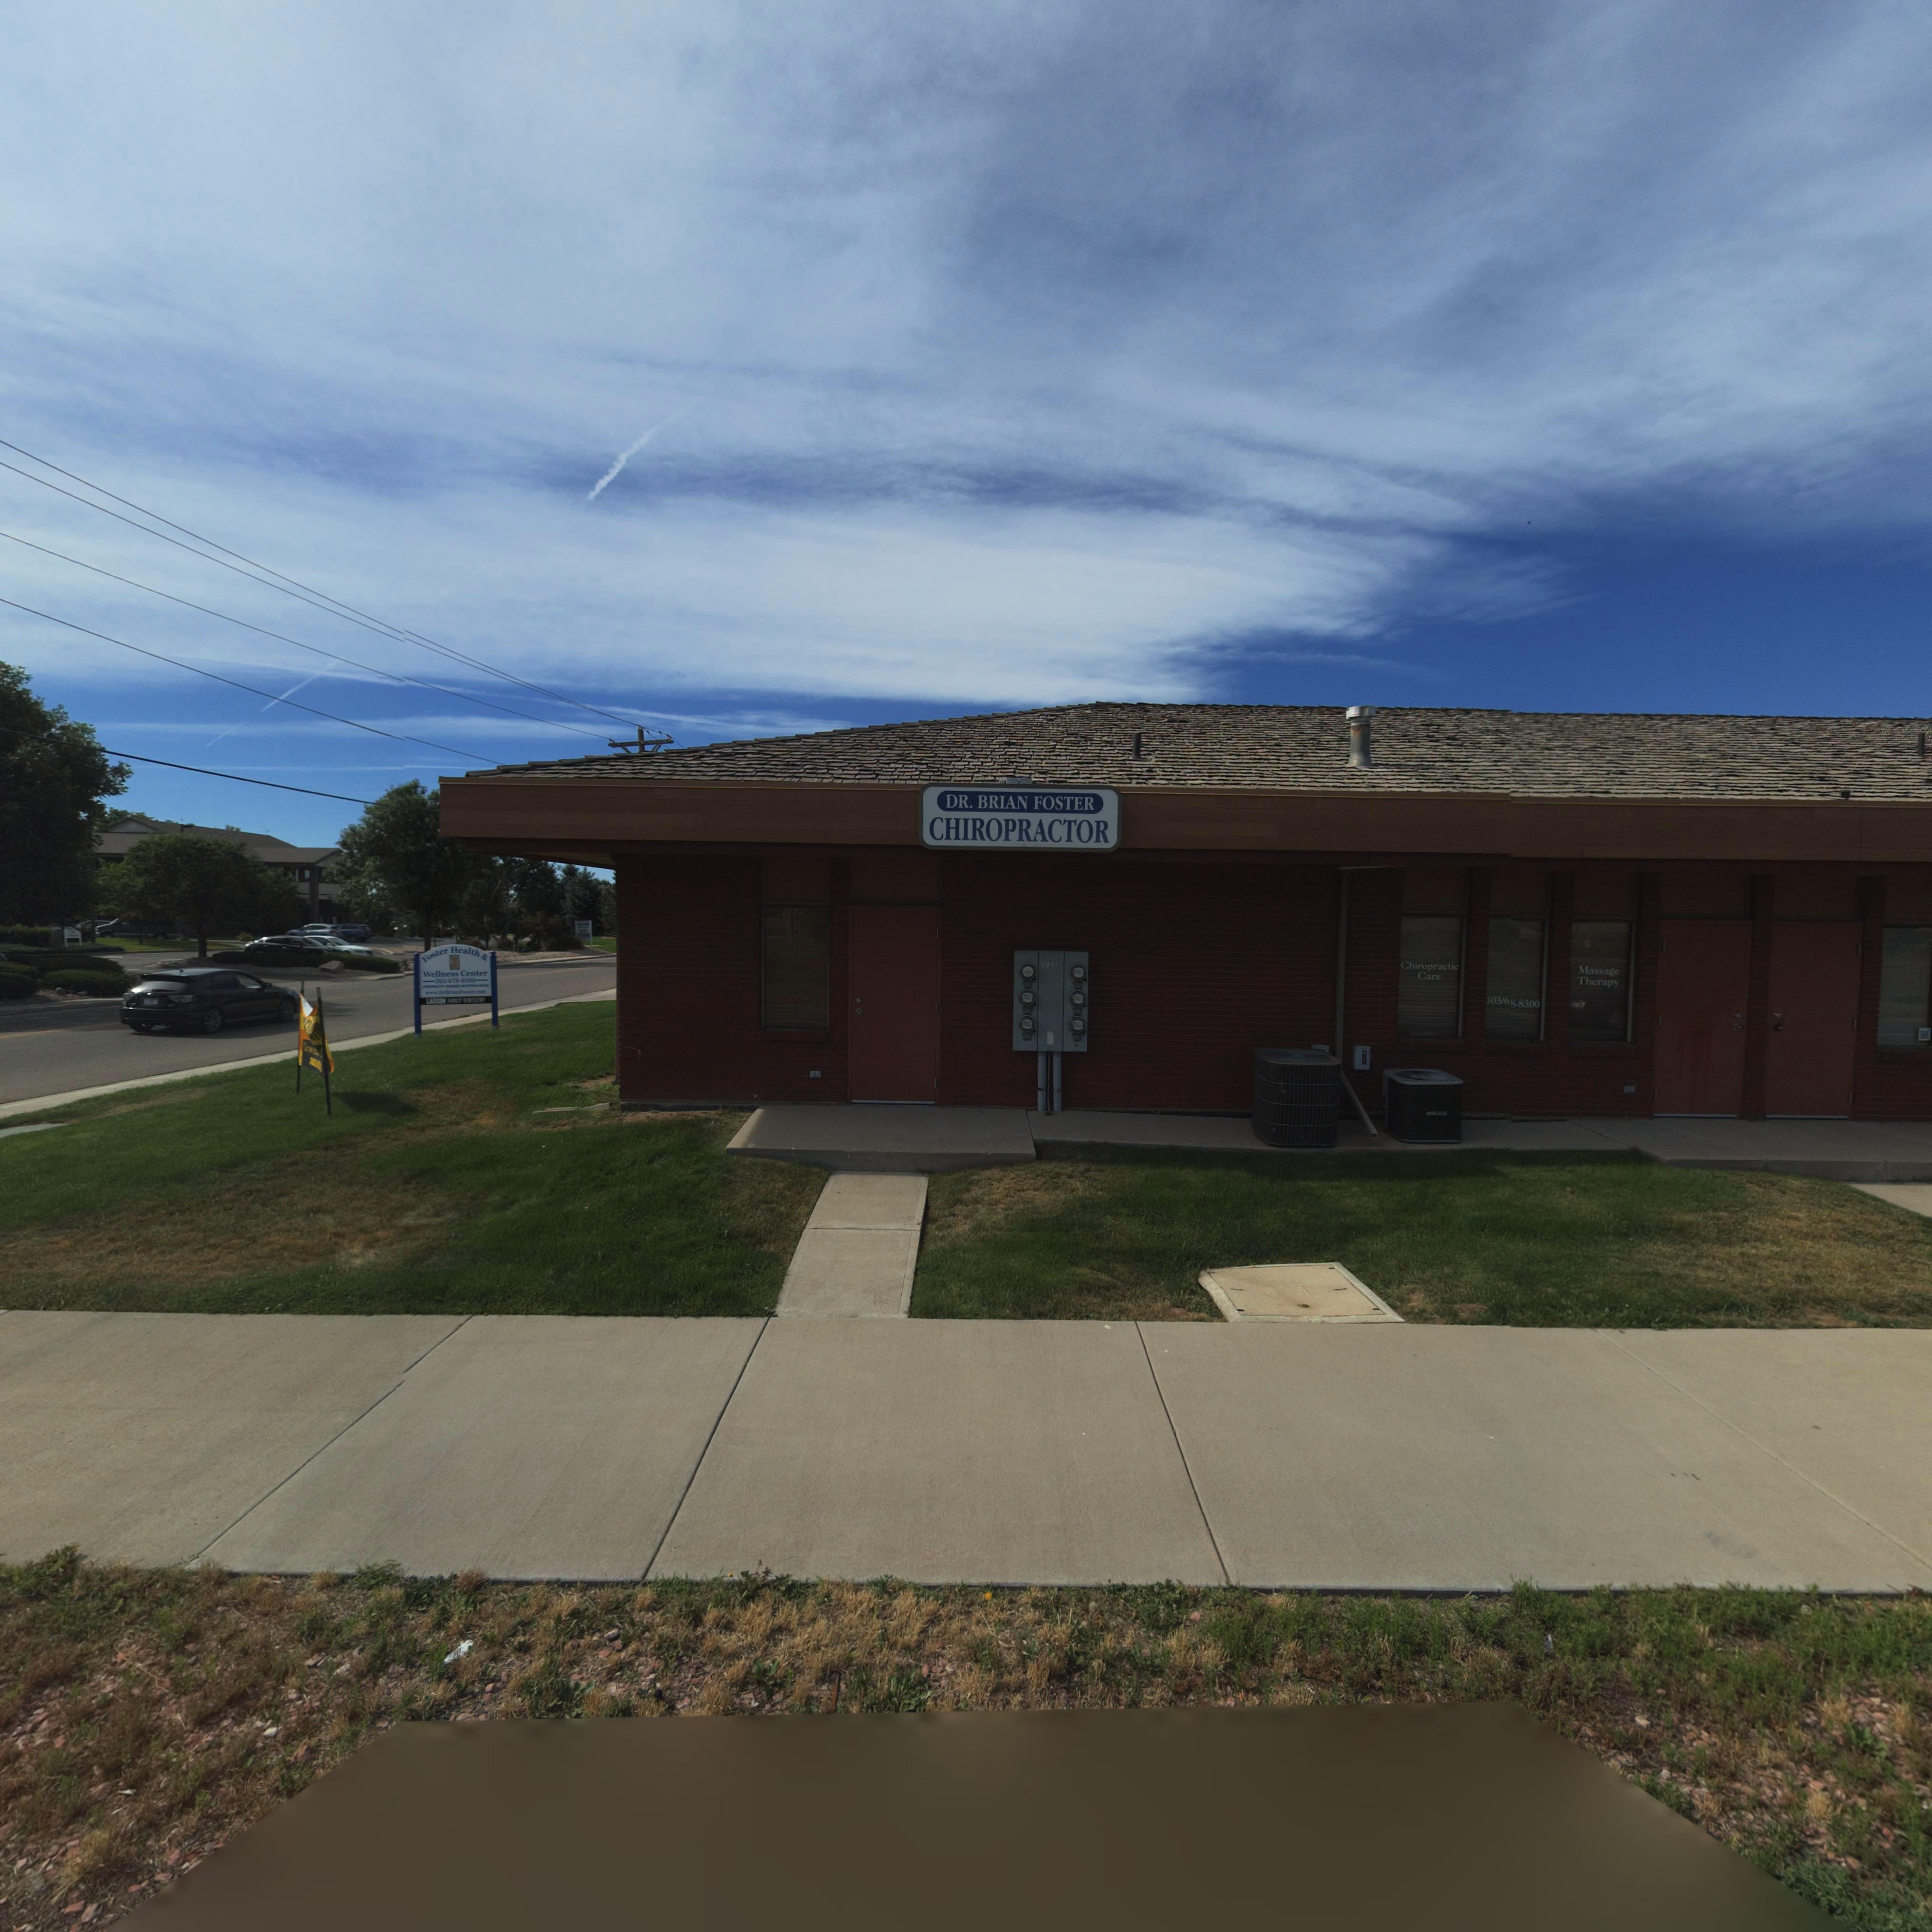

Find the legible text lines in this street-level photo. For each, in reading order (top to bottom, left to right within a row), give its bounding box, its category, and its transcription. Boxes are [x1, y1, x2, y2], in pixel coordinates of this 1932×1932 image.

[945, 793, 1095, 811] BusinessName: DR. BRIAN FOSTER
[420, 946, 489, 963] BusinessName: Foster Health &
[422, 969, 488, 977] BusinessName: Wellness Center
[425, 996, 486, 1005] BusinessName: LARSON FAMILY DENTISTRY